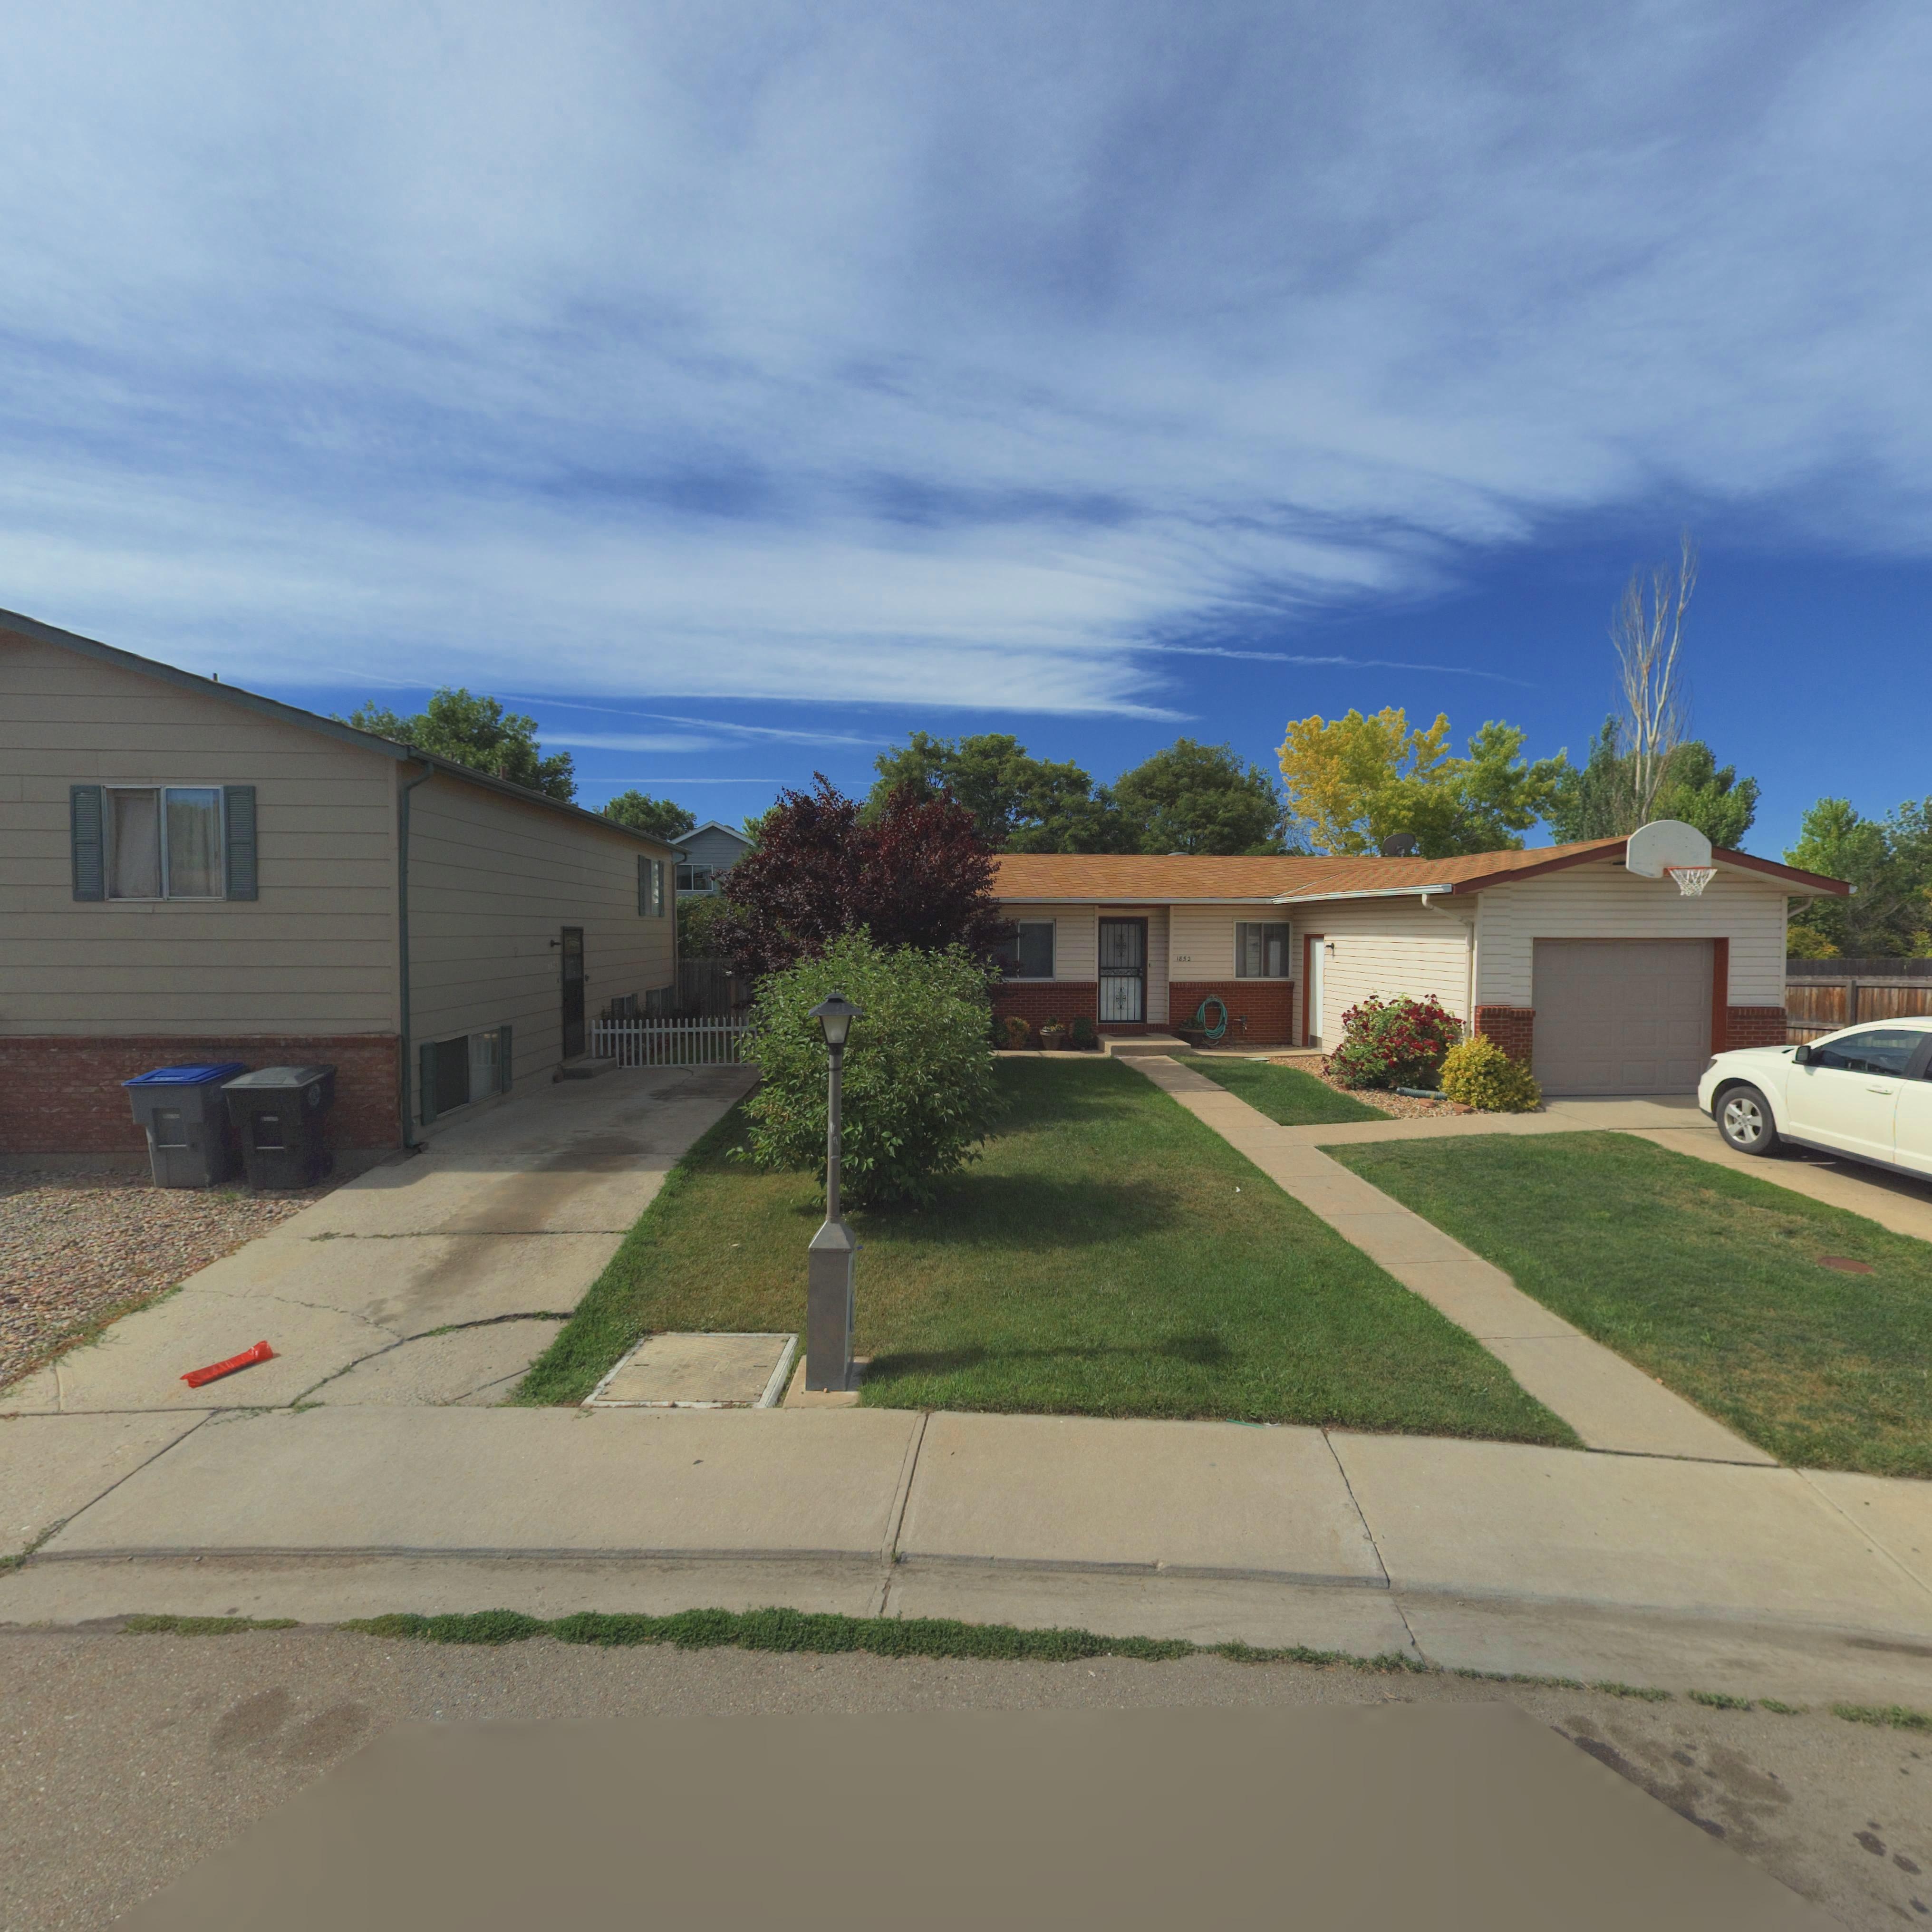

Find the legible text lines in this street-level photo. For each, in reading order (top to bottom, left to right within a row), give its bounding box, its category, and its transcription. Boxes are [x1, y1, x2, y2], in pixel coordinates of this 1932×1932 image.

[1176, 956, 1191, 961] StreetNumber: 1852